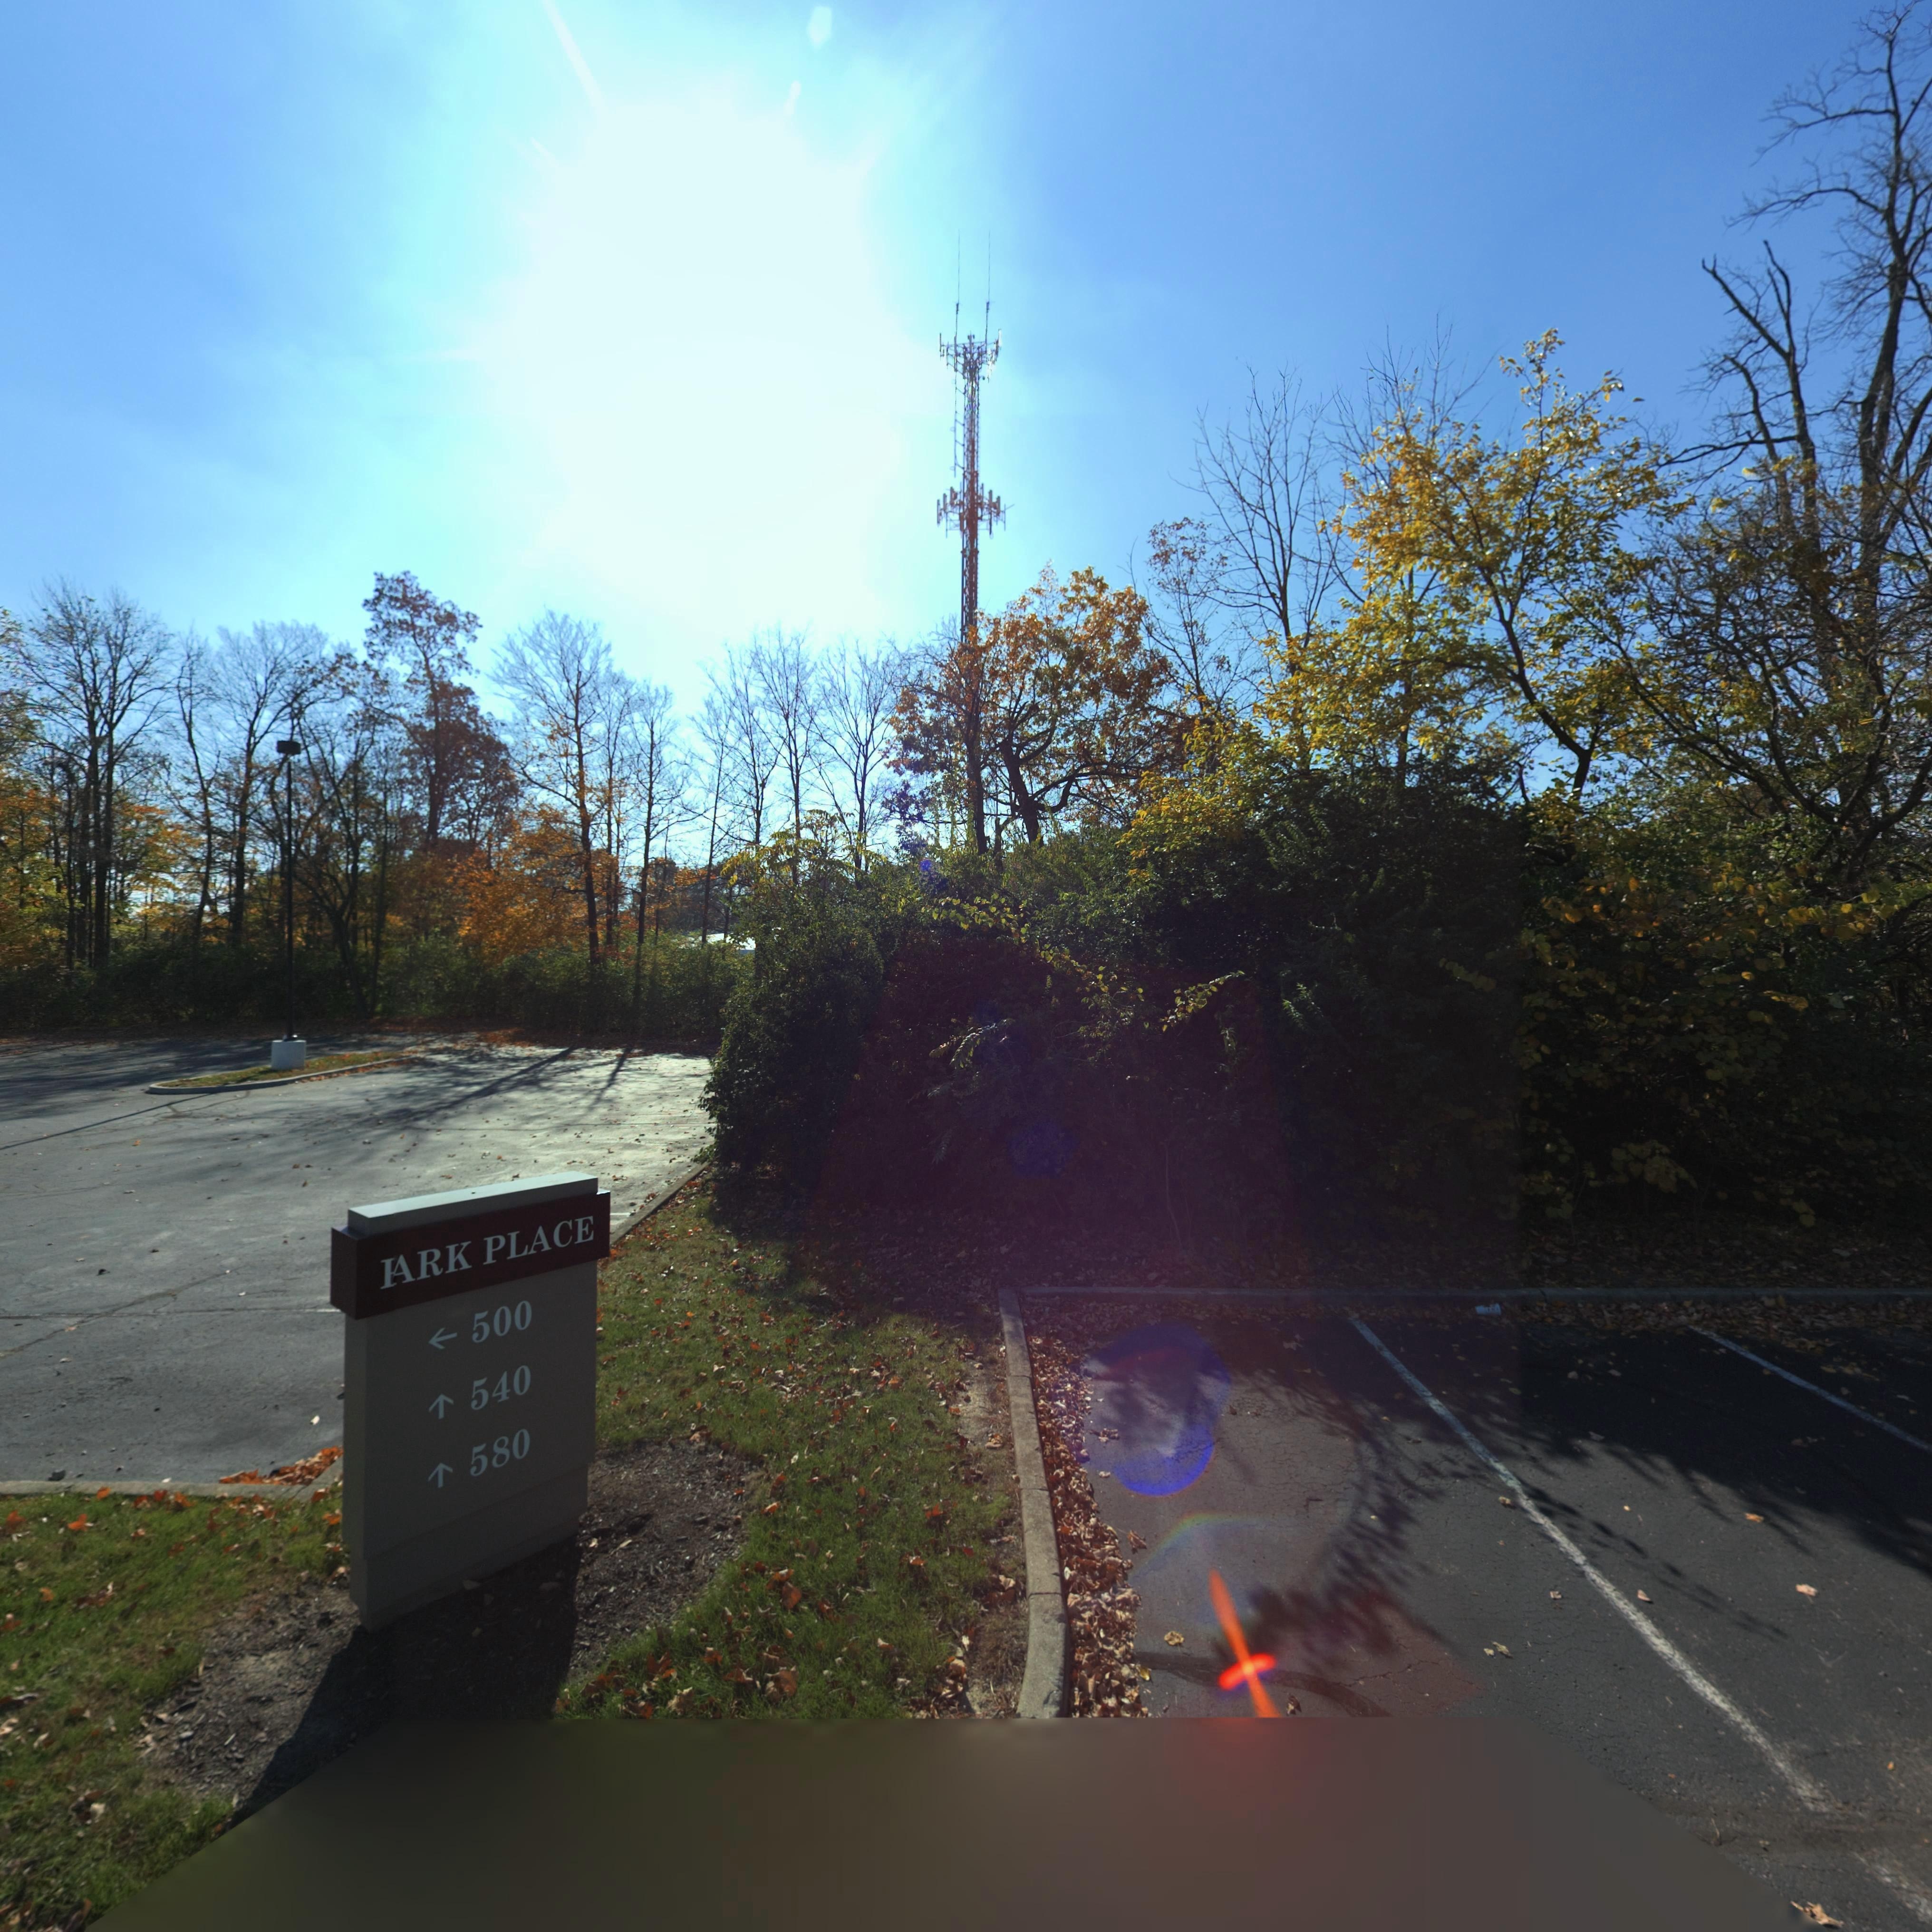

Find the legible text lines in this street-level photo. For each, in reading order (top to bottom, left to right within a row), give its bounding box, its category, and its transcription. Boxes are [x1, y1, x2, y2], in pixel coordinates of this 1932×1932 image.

[378, 1214, 595, 1292] None: *ARK PLACE
[471, 1297, 534, 1346] None: 500
[470, 1362, 533, 1414] None: 540
[468, 1426, 531, 1480] None: 580